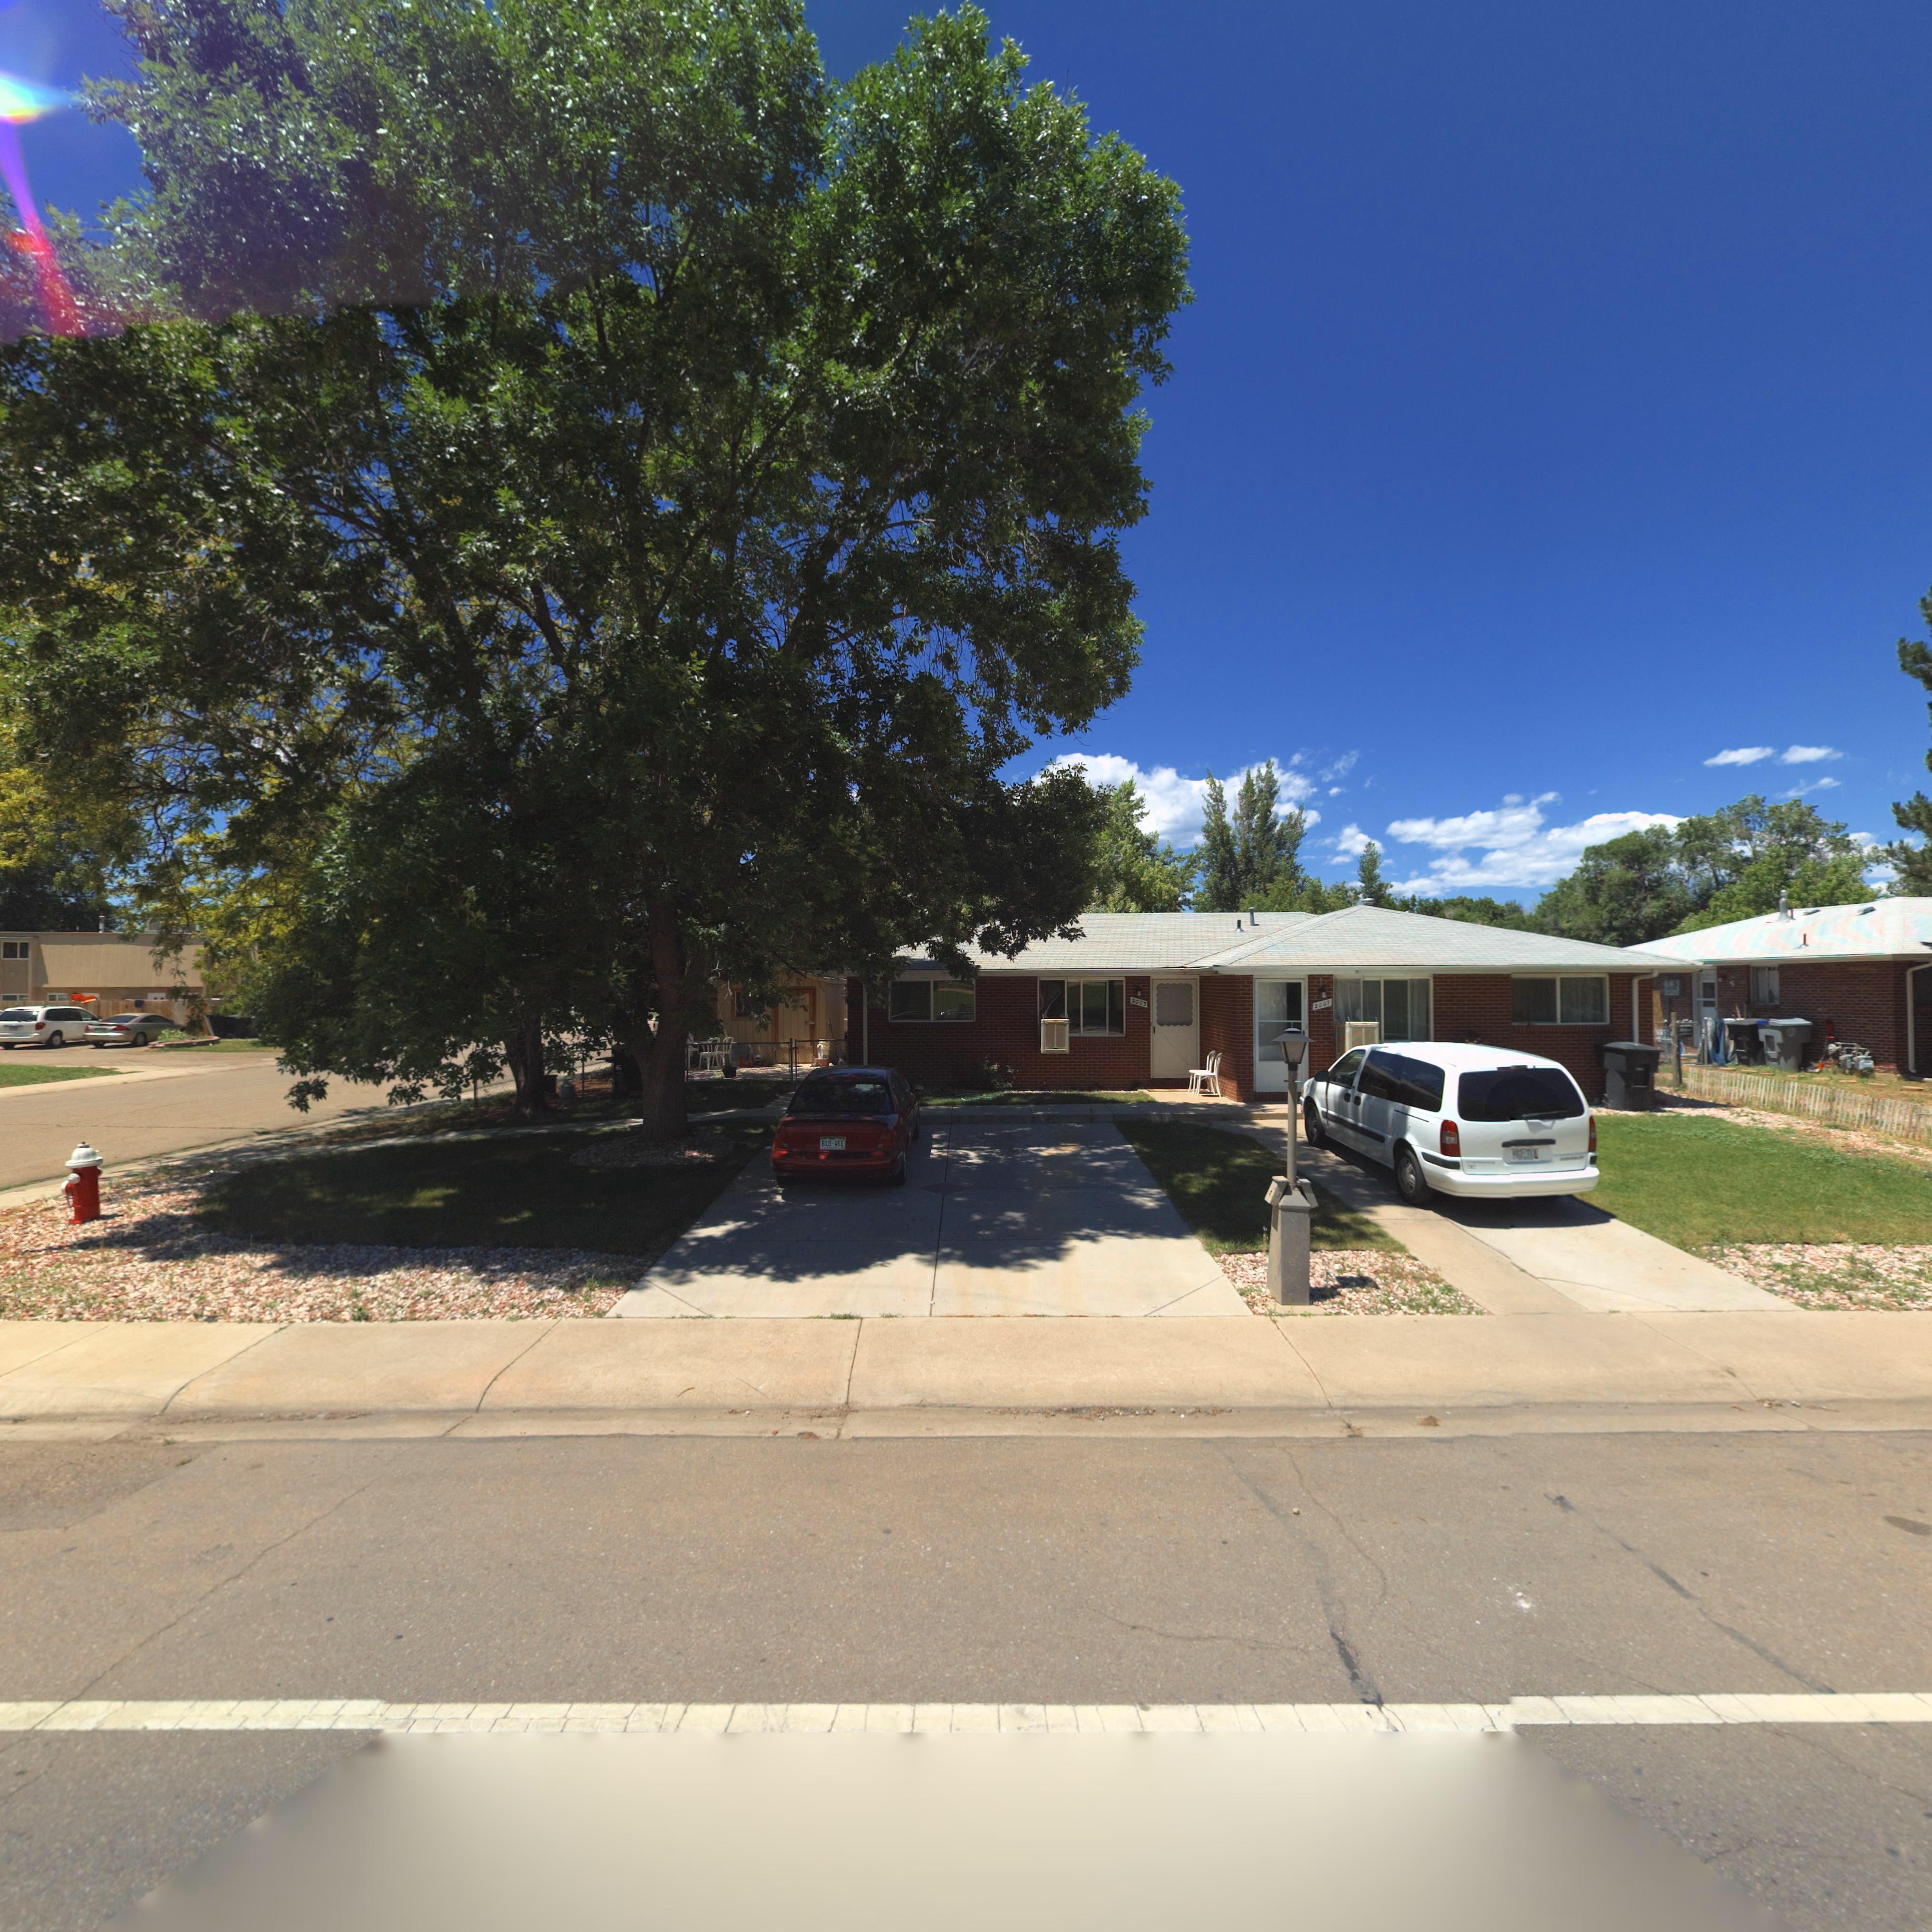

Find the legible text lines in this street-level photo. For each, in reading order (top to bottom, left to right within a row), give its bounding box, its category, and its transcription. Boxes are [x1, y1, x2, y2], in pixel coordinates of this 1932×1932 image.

[1130, 997, 1147, 1006] StreetNumber: 2005
[1314, 999, 1330, 1009] StreetNumber: 2007